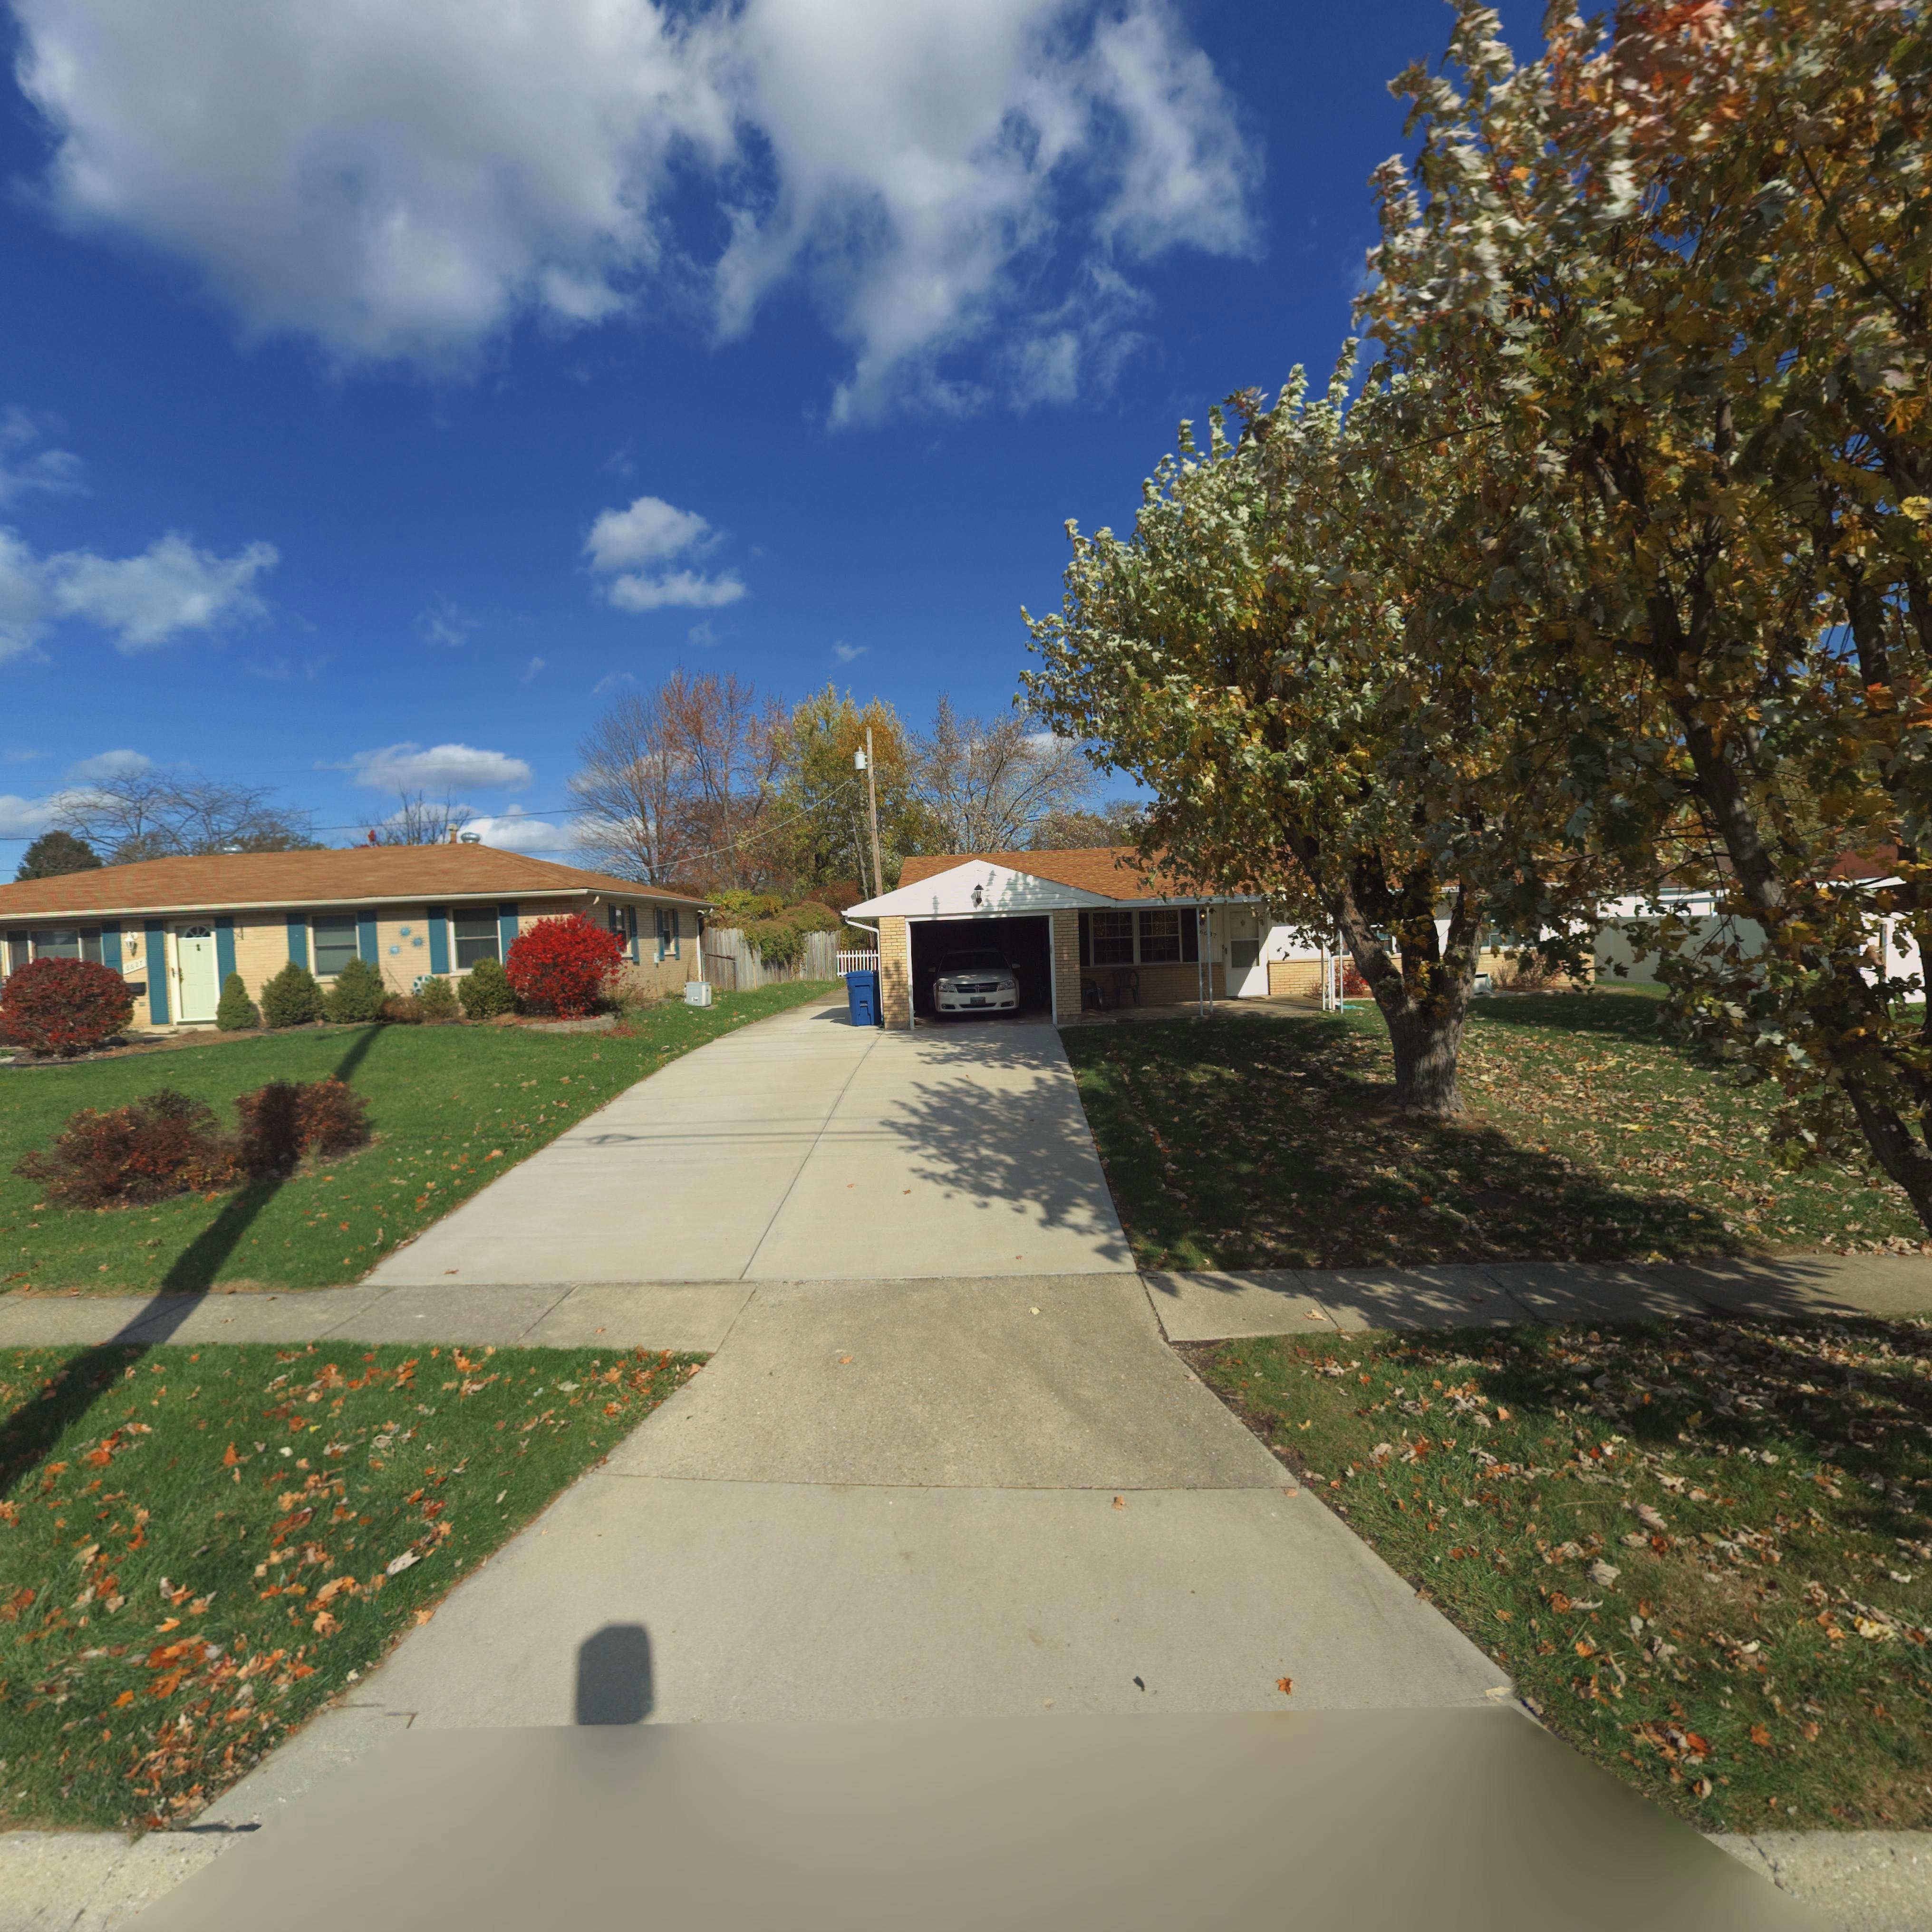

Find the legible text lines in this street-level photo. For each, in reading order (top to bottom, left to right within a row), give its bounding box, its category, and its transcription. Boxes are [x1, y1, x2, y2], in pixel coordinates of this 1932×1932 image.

[1199, 928, 1217, 939] StreetNumber: 66*7
[125, 959, 143, 972] StreetNumber: 6627